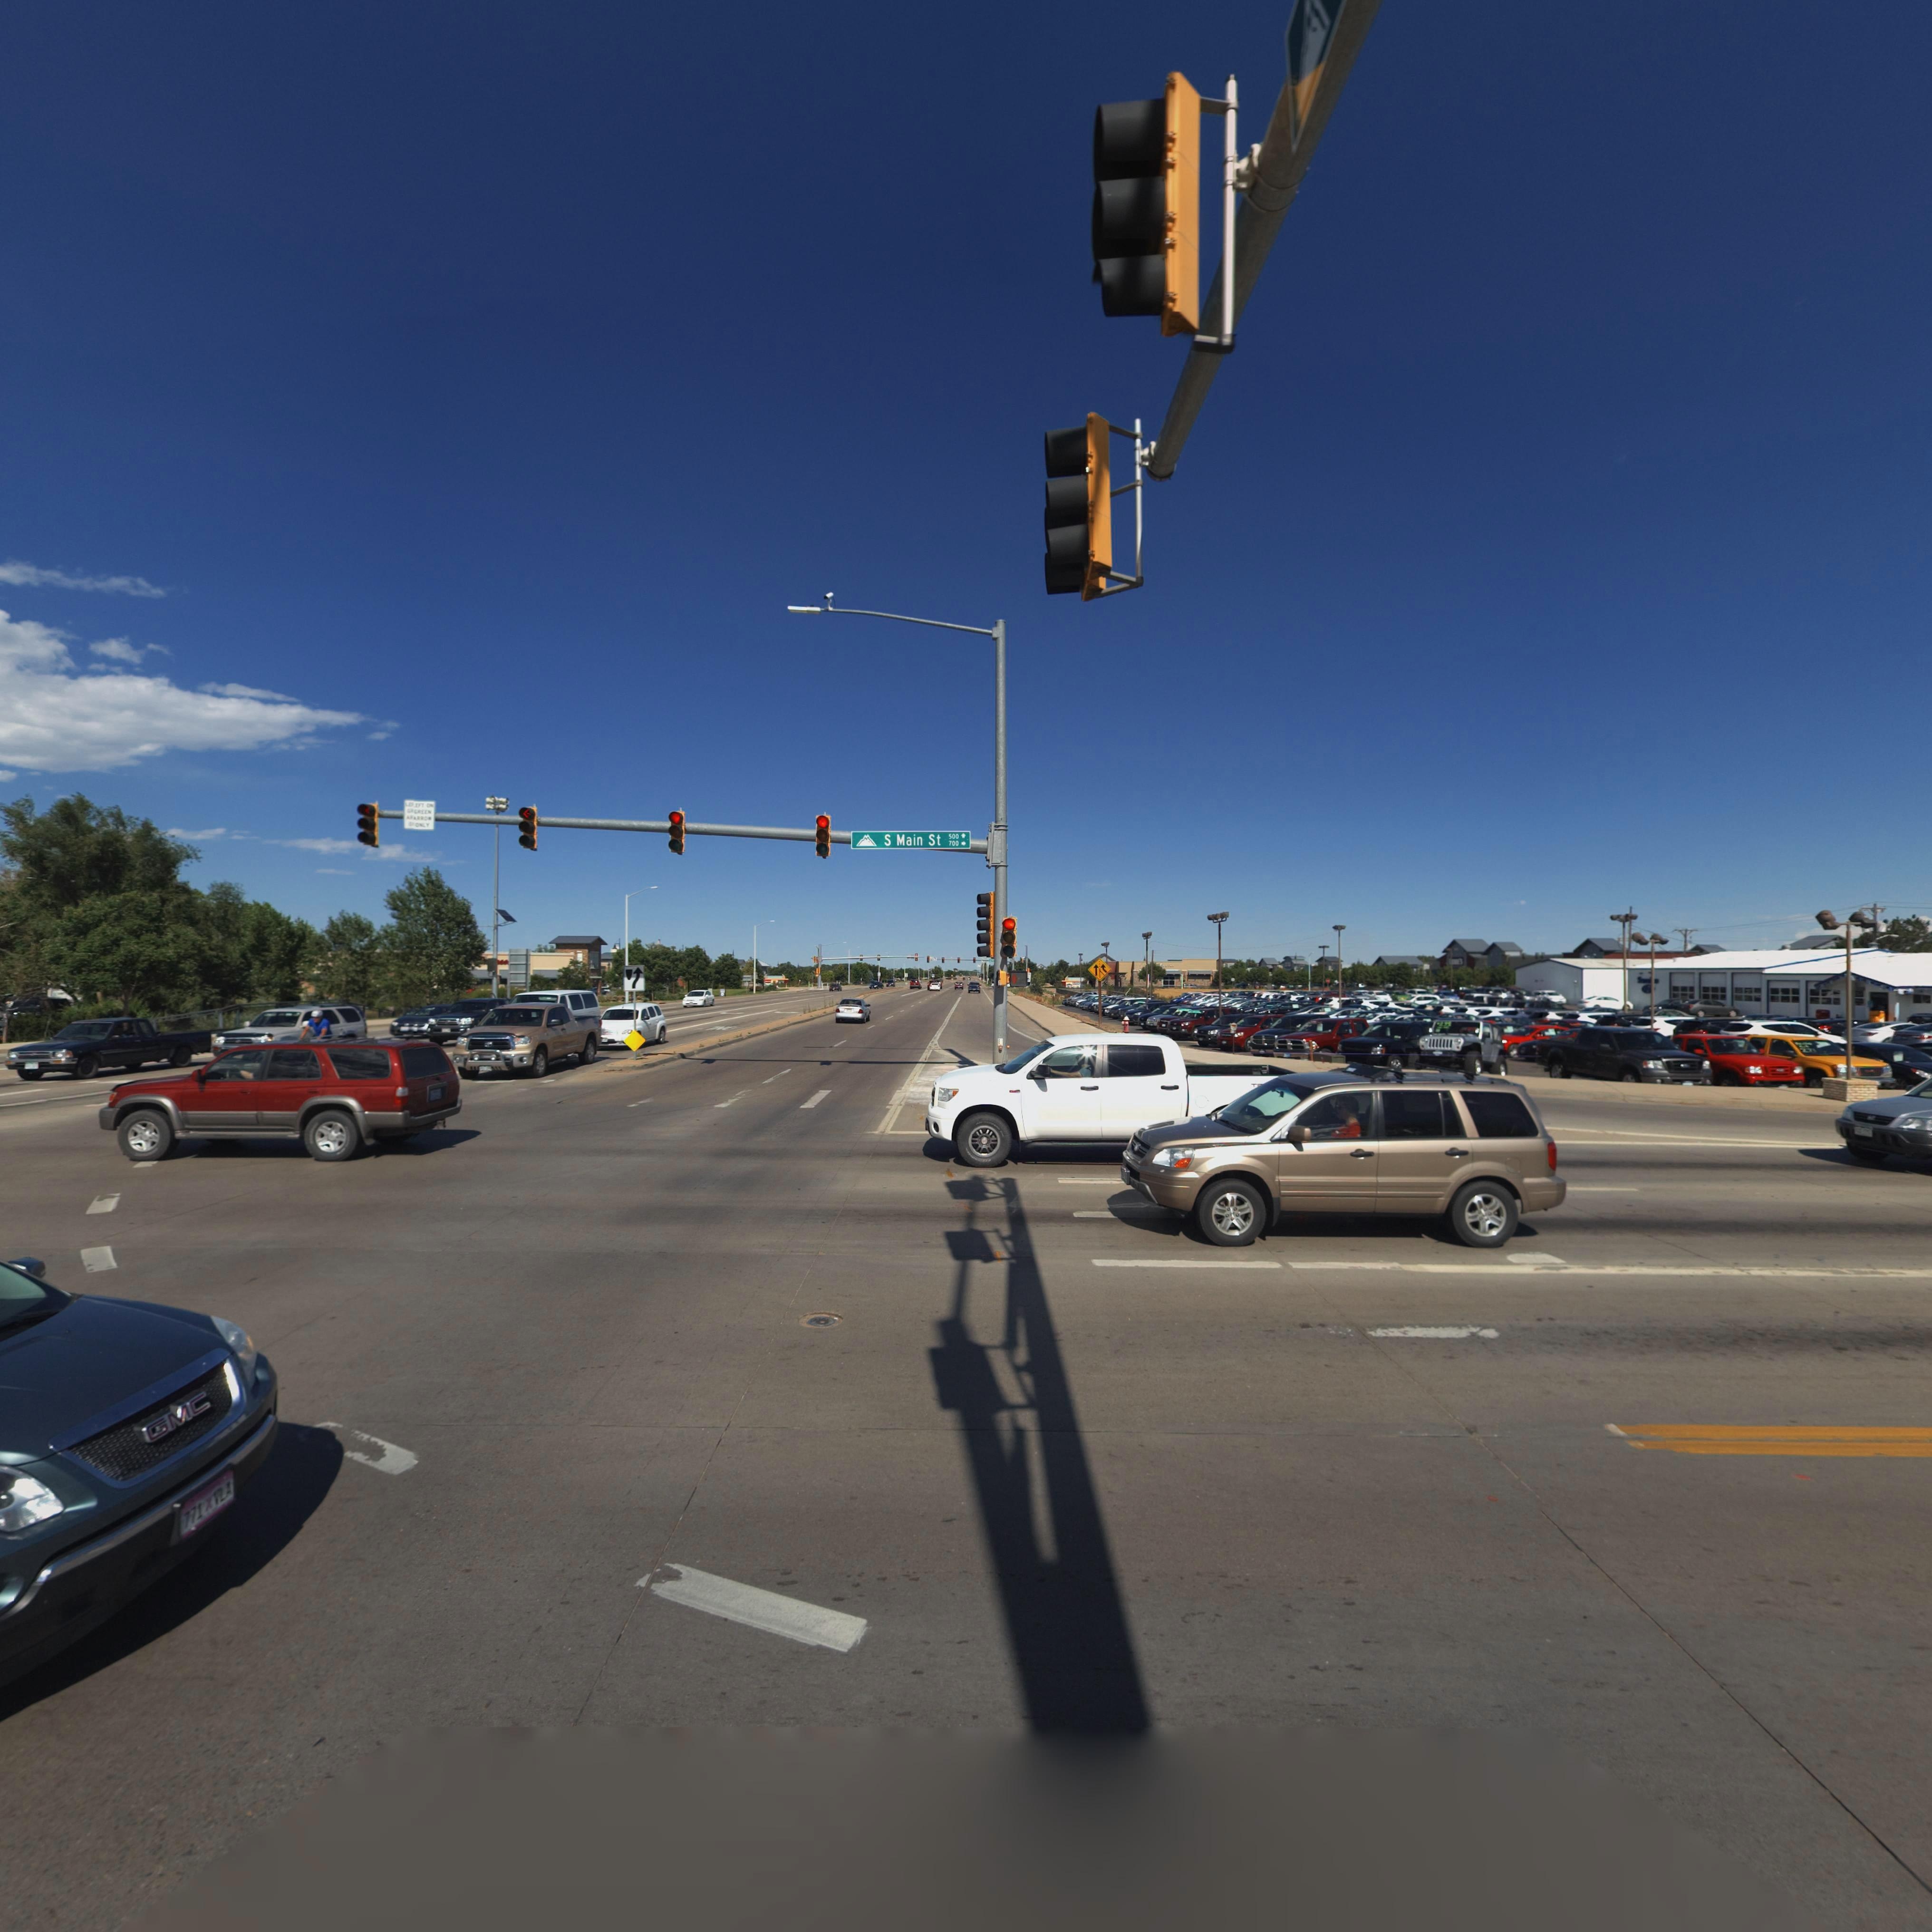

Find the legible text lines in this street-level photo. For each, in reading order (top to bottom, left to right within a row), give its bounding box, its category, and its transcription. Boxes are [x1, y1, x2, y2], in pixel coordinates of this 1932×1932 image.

[883, 833, 941, 847] StreetName: S Main St
[948, 833, 959, 840] StreetNumberRange: 500
[948, 840, 967, 846] StreetNumberRange: 700 ->
[473, 956, 509, 965] BusinessName: ********s